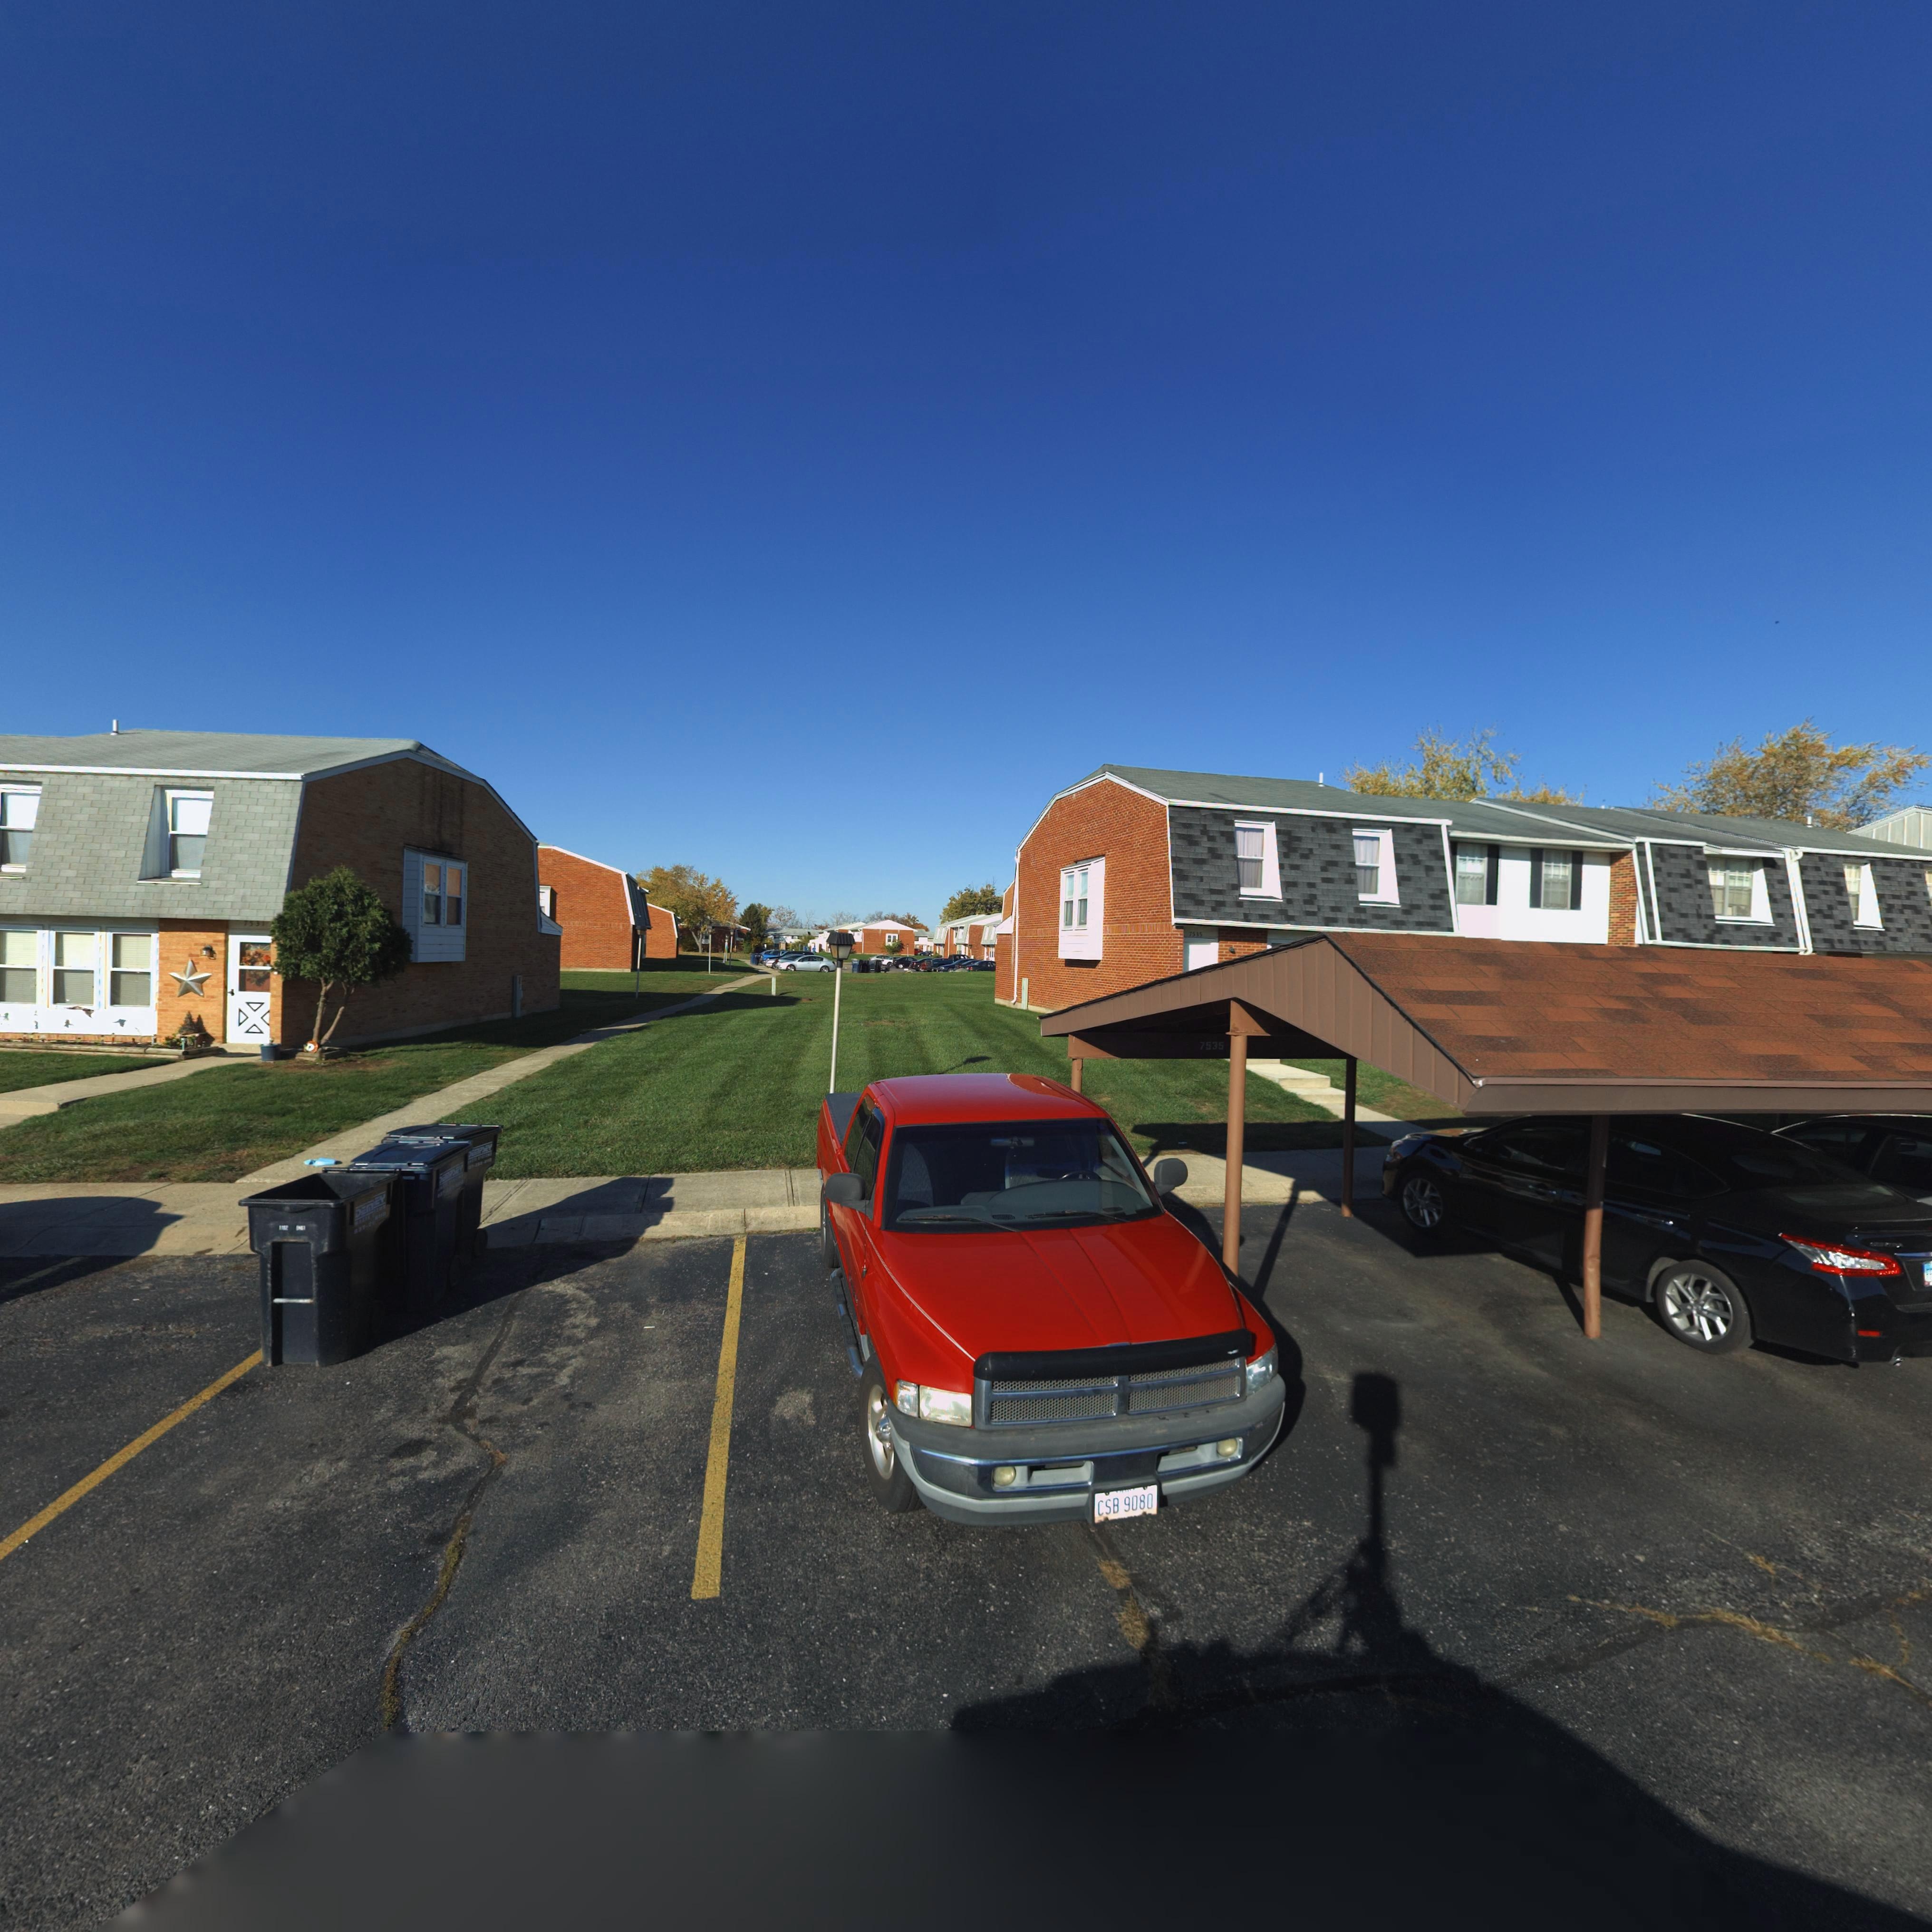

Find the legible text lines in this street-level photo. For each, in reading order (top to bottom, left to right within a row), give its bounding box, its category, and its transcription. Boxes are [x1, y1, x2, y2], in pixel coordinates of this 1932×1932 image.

[243, 920, 265, 927] StreetNumber: 7531
[1188, 931, 1203, 937] StreetNumber: 7535
[1198, 1040, 1226, 1051] StreetNumber: 7535